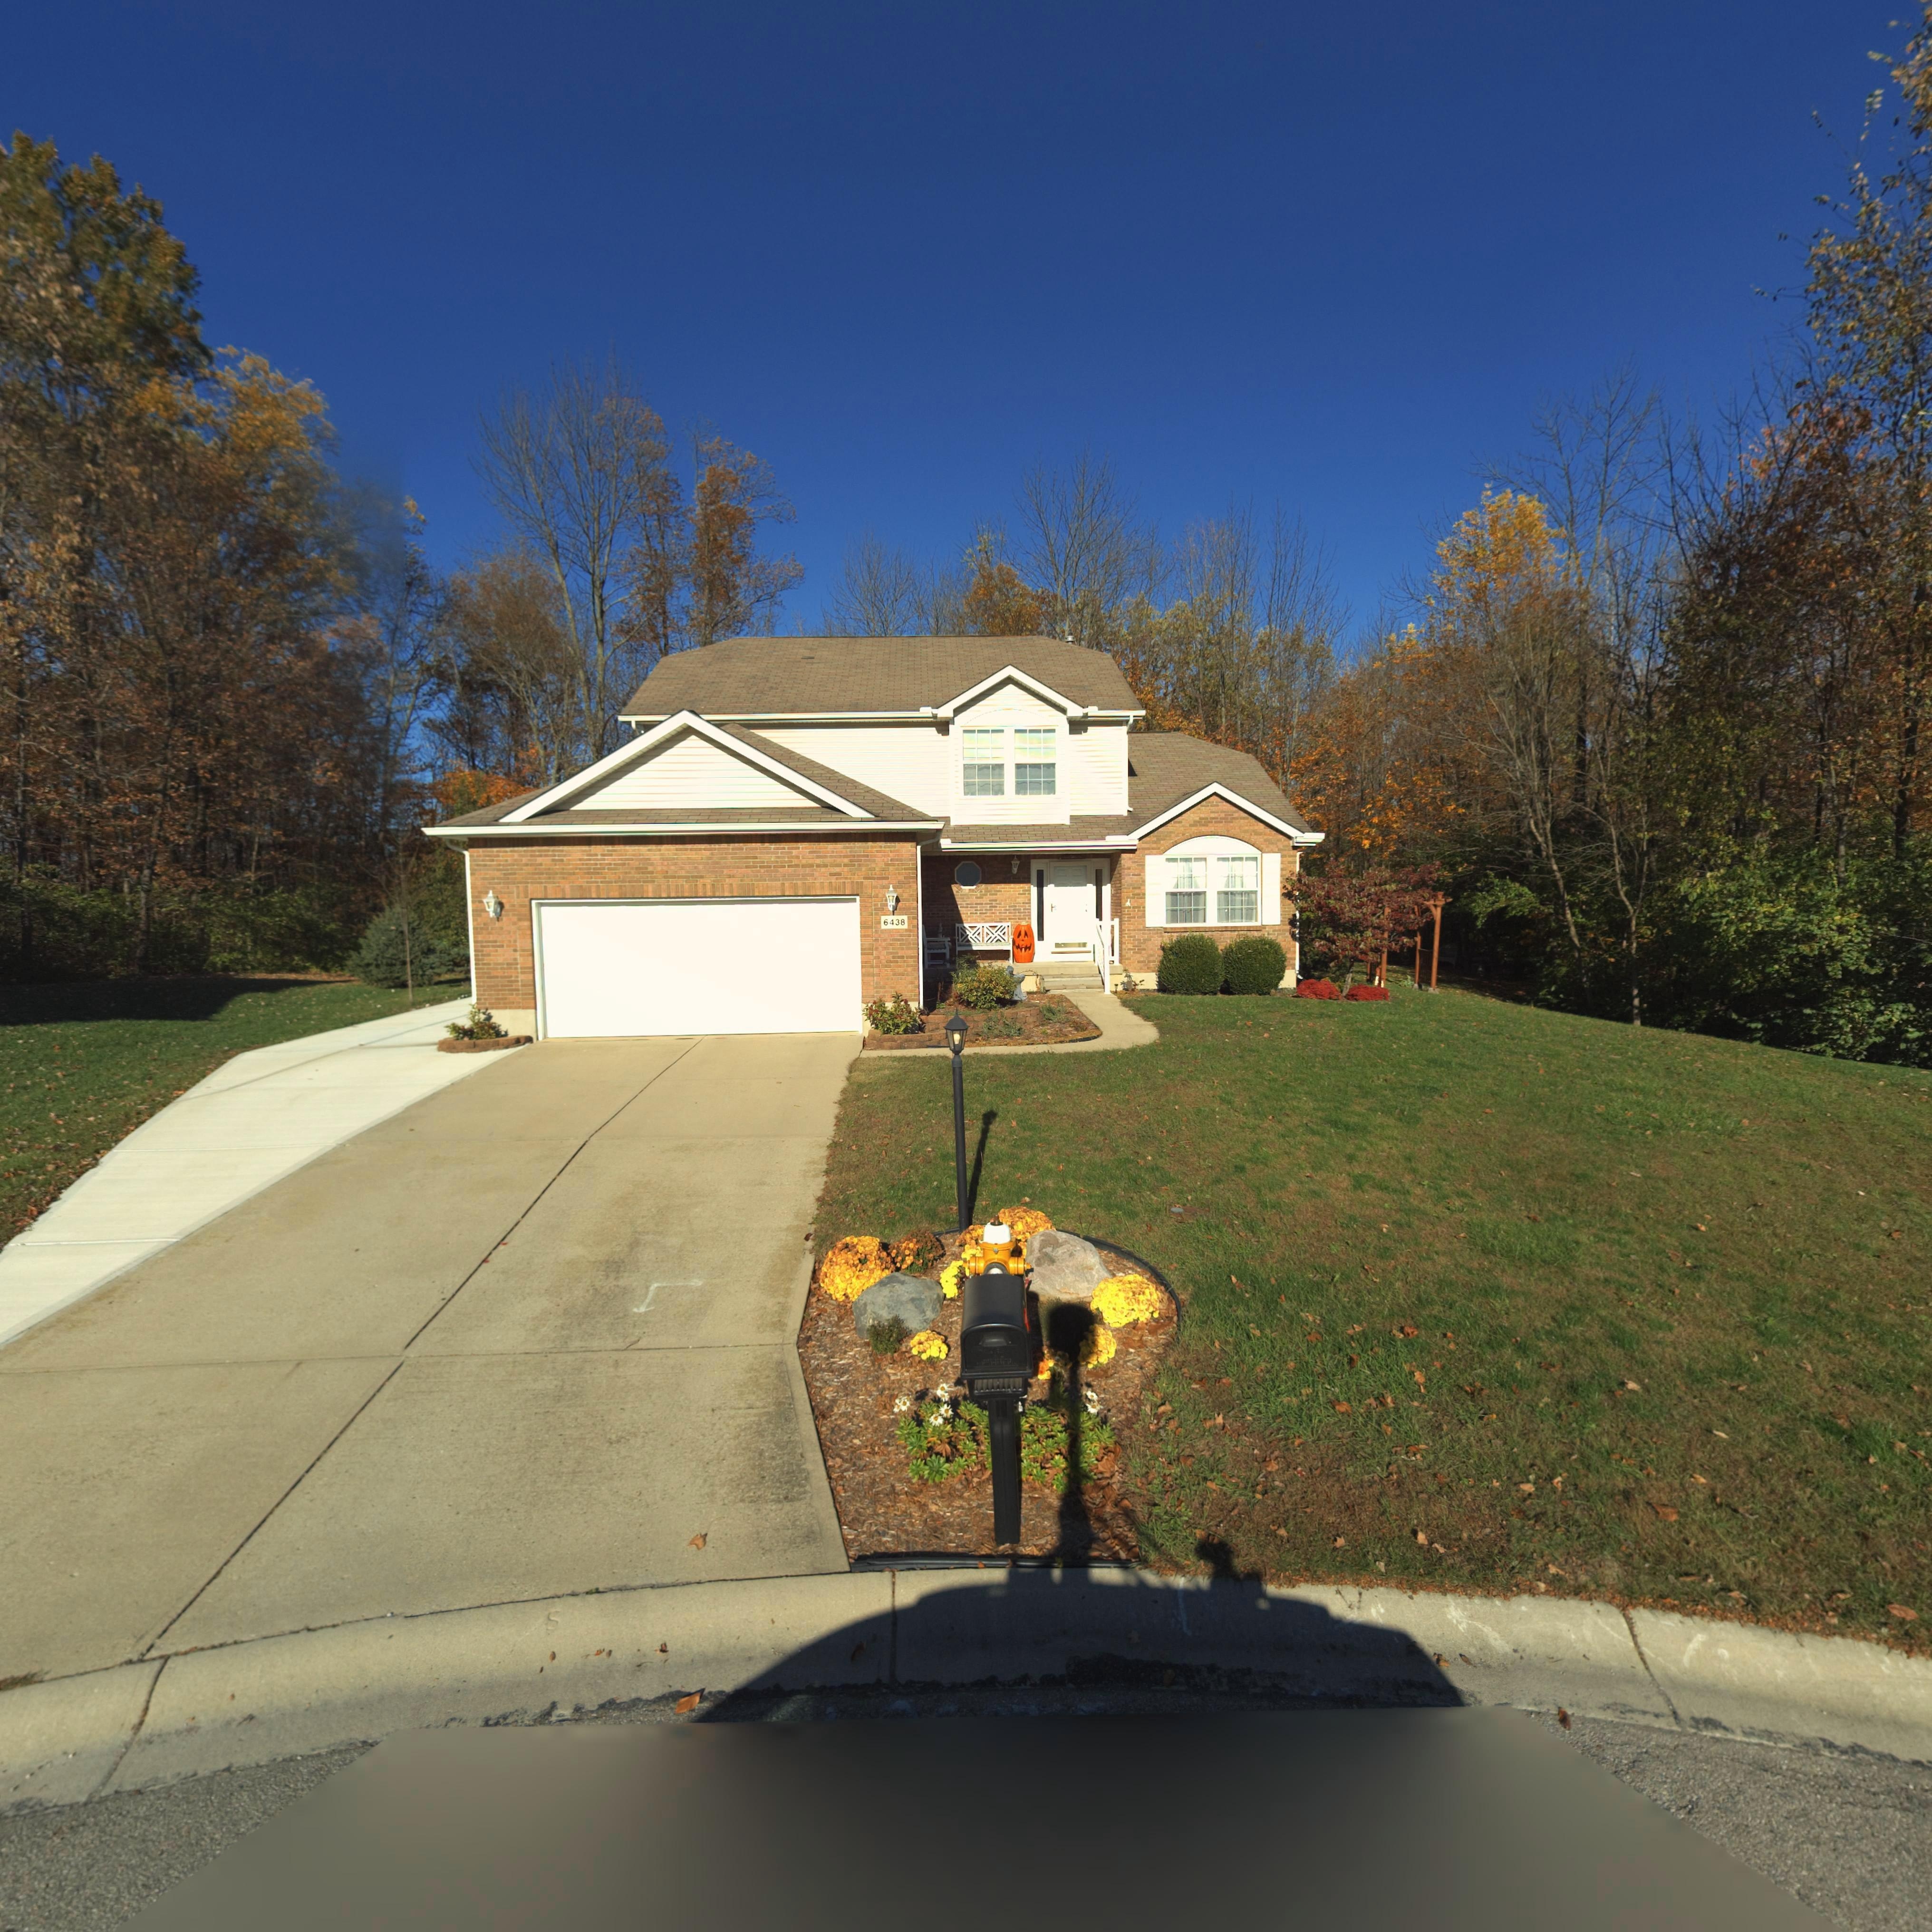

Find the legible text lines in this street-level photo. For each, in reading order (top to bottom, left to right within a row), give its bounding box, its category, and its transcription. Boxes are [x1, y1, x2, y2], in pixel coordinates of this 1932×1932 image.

[882, 918, 906, 927] StreetNumber: 6438